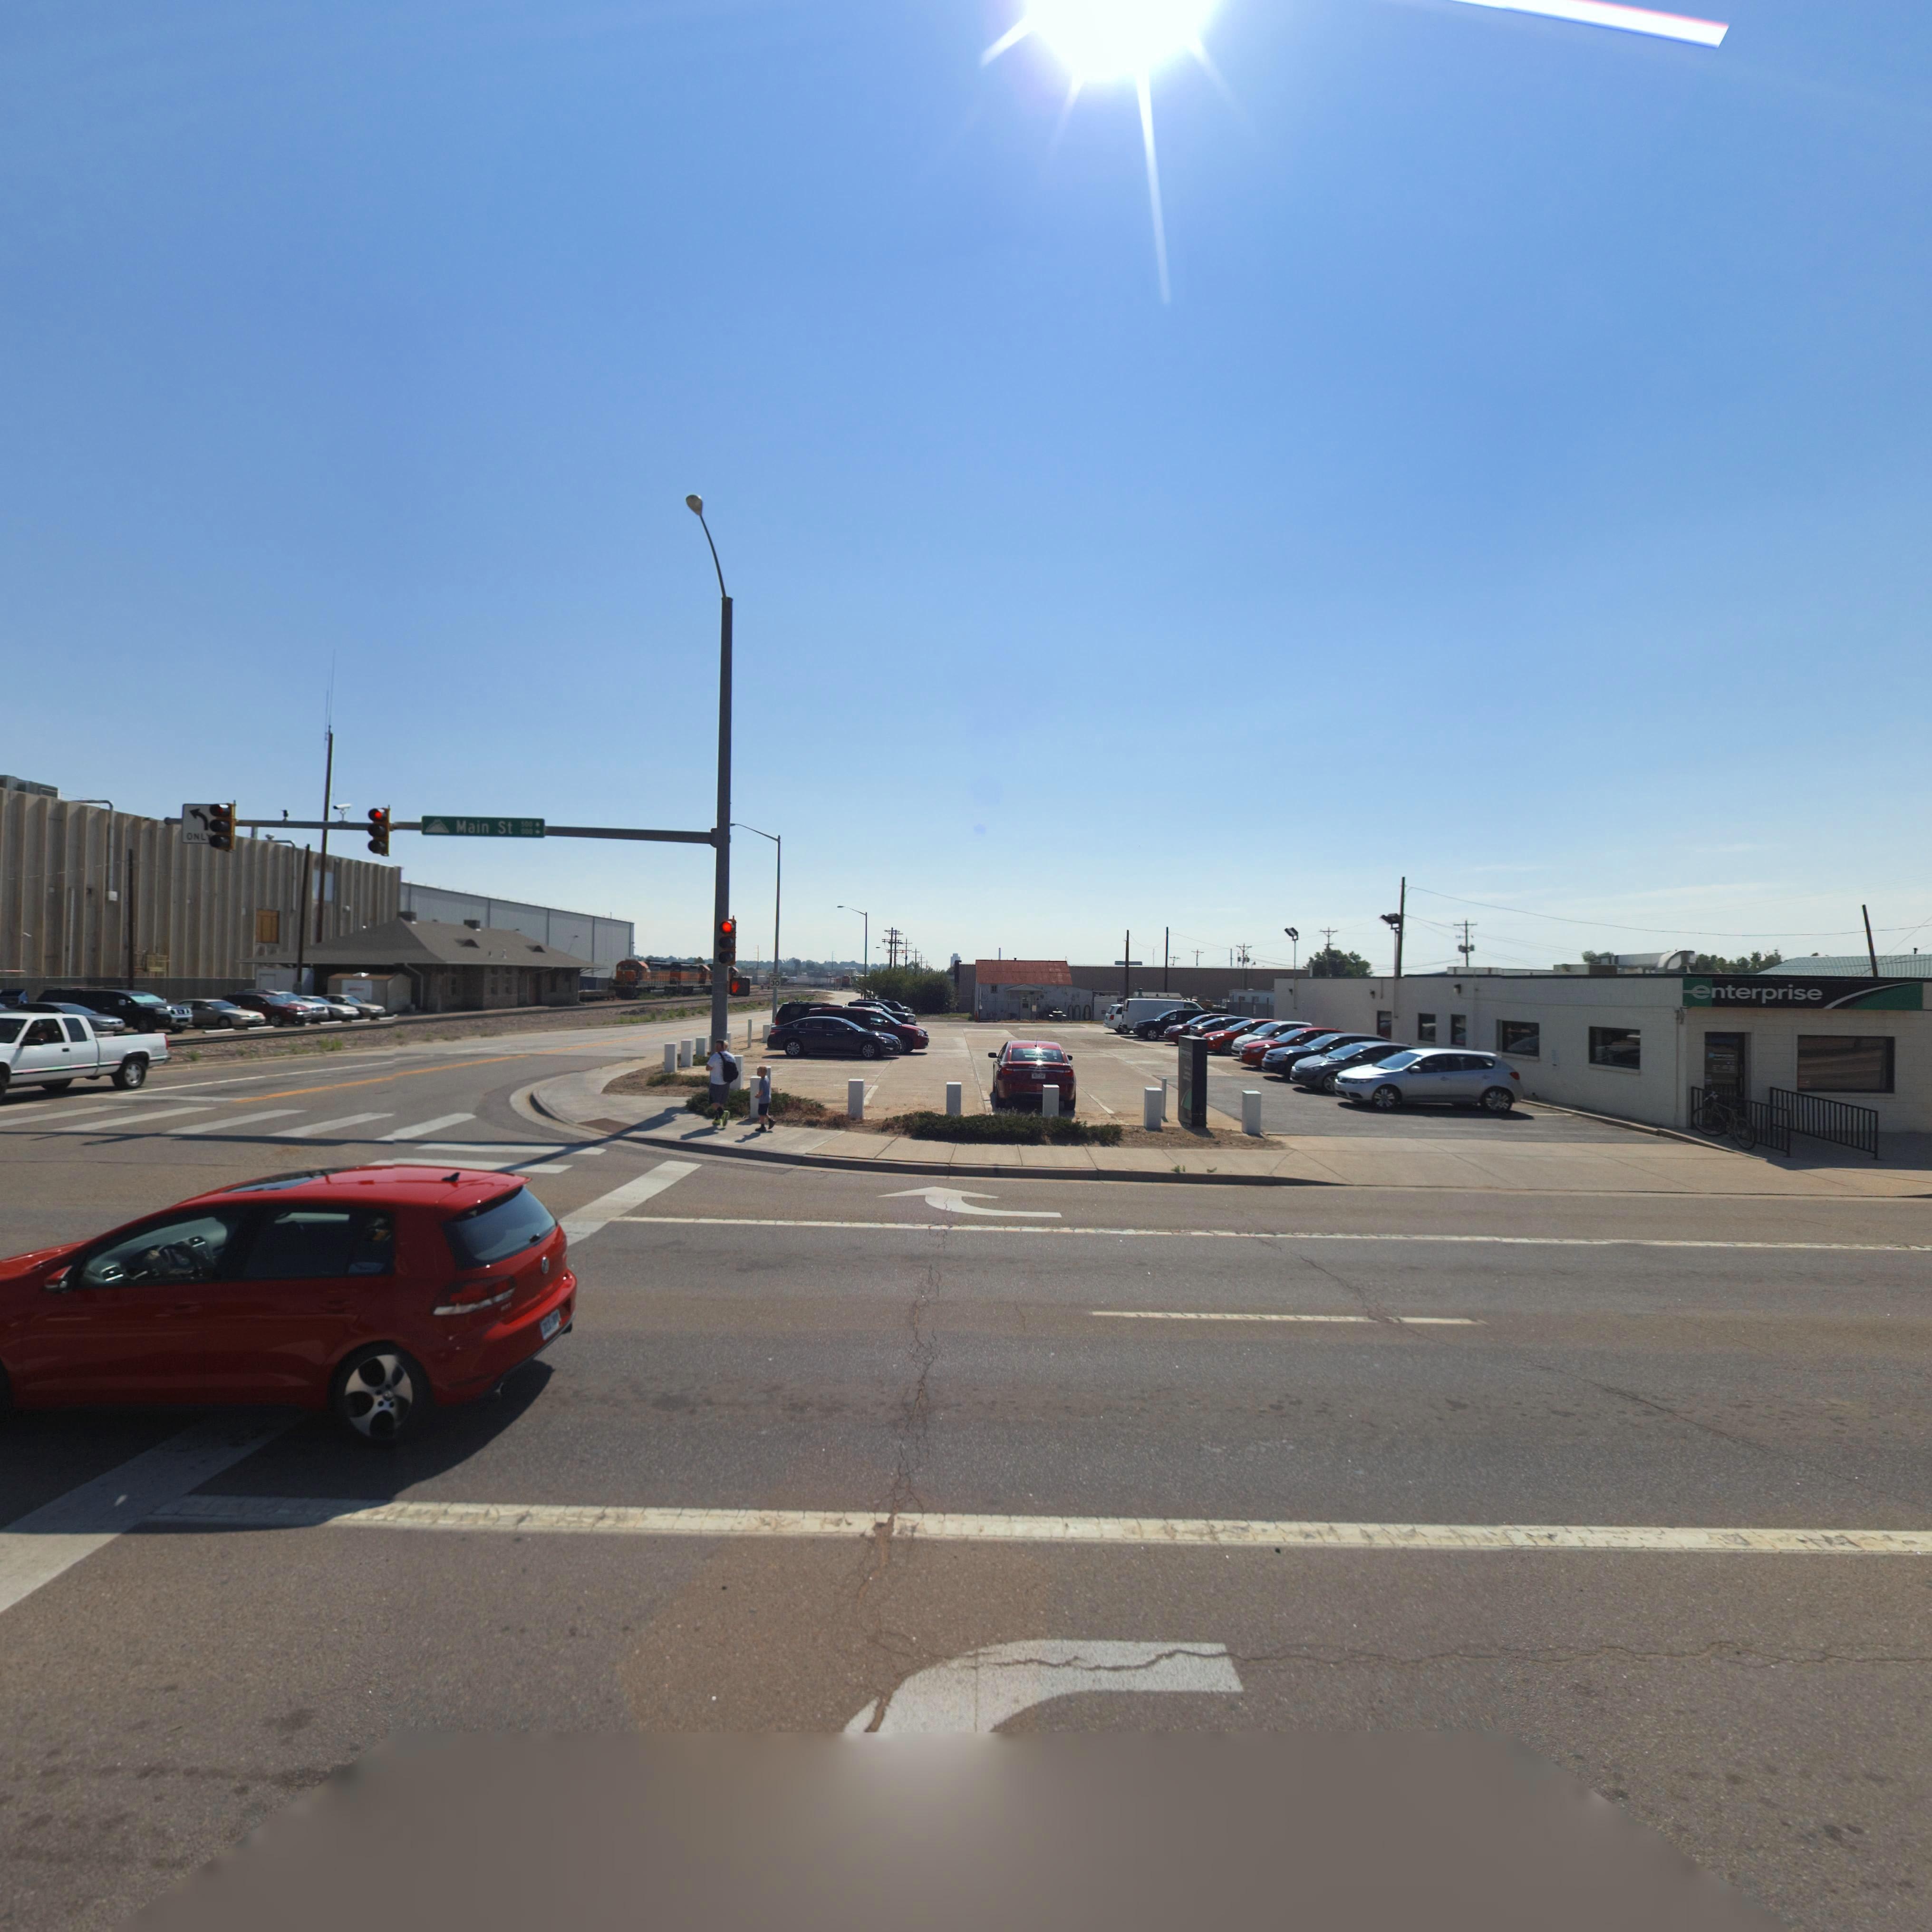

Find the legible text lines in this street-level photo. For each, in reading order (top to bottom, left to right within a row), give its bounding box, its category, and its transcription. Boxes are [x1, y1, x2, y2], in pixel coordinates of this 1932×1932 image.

[456, 819, 513, 834] StreetName: Main St
[521, 821, 532, 827] StreetNumberRange: *00
[521, 828, 541, 834] StreetNumberRange: 000 ->
[1690, 983, 1823, 1005] BusinessName: enterprise